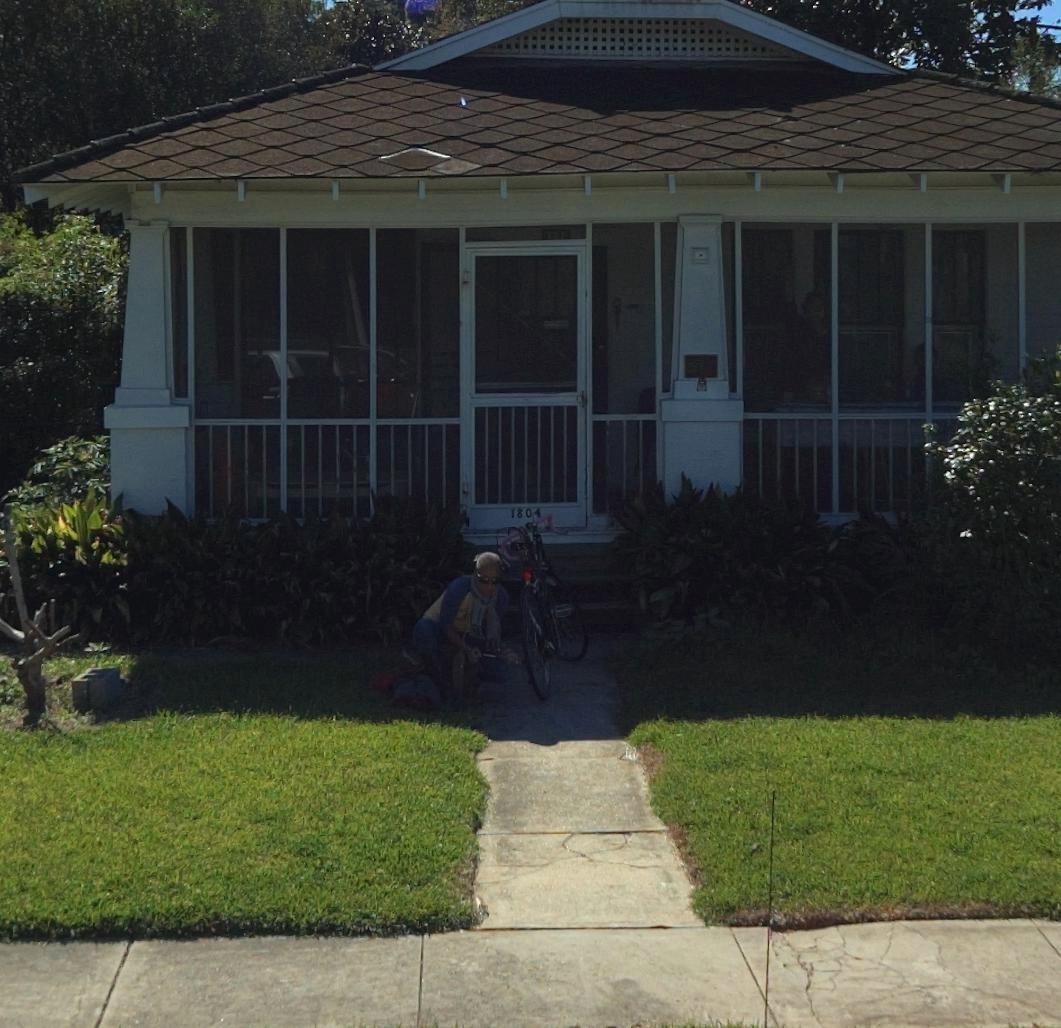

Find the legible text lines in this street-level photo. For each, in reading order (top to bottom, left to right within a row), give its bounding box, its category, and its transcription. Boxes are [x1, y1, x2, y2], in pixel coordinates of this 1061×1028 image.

[509, 506, 543, 520] StreetNumber: 1804